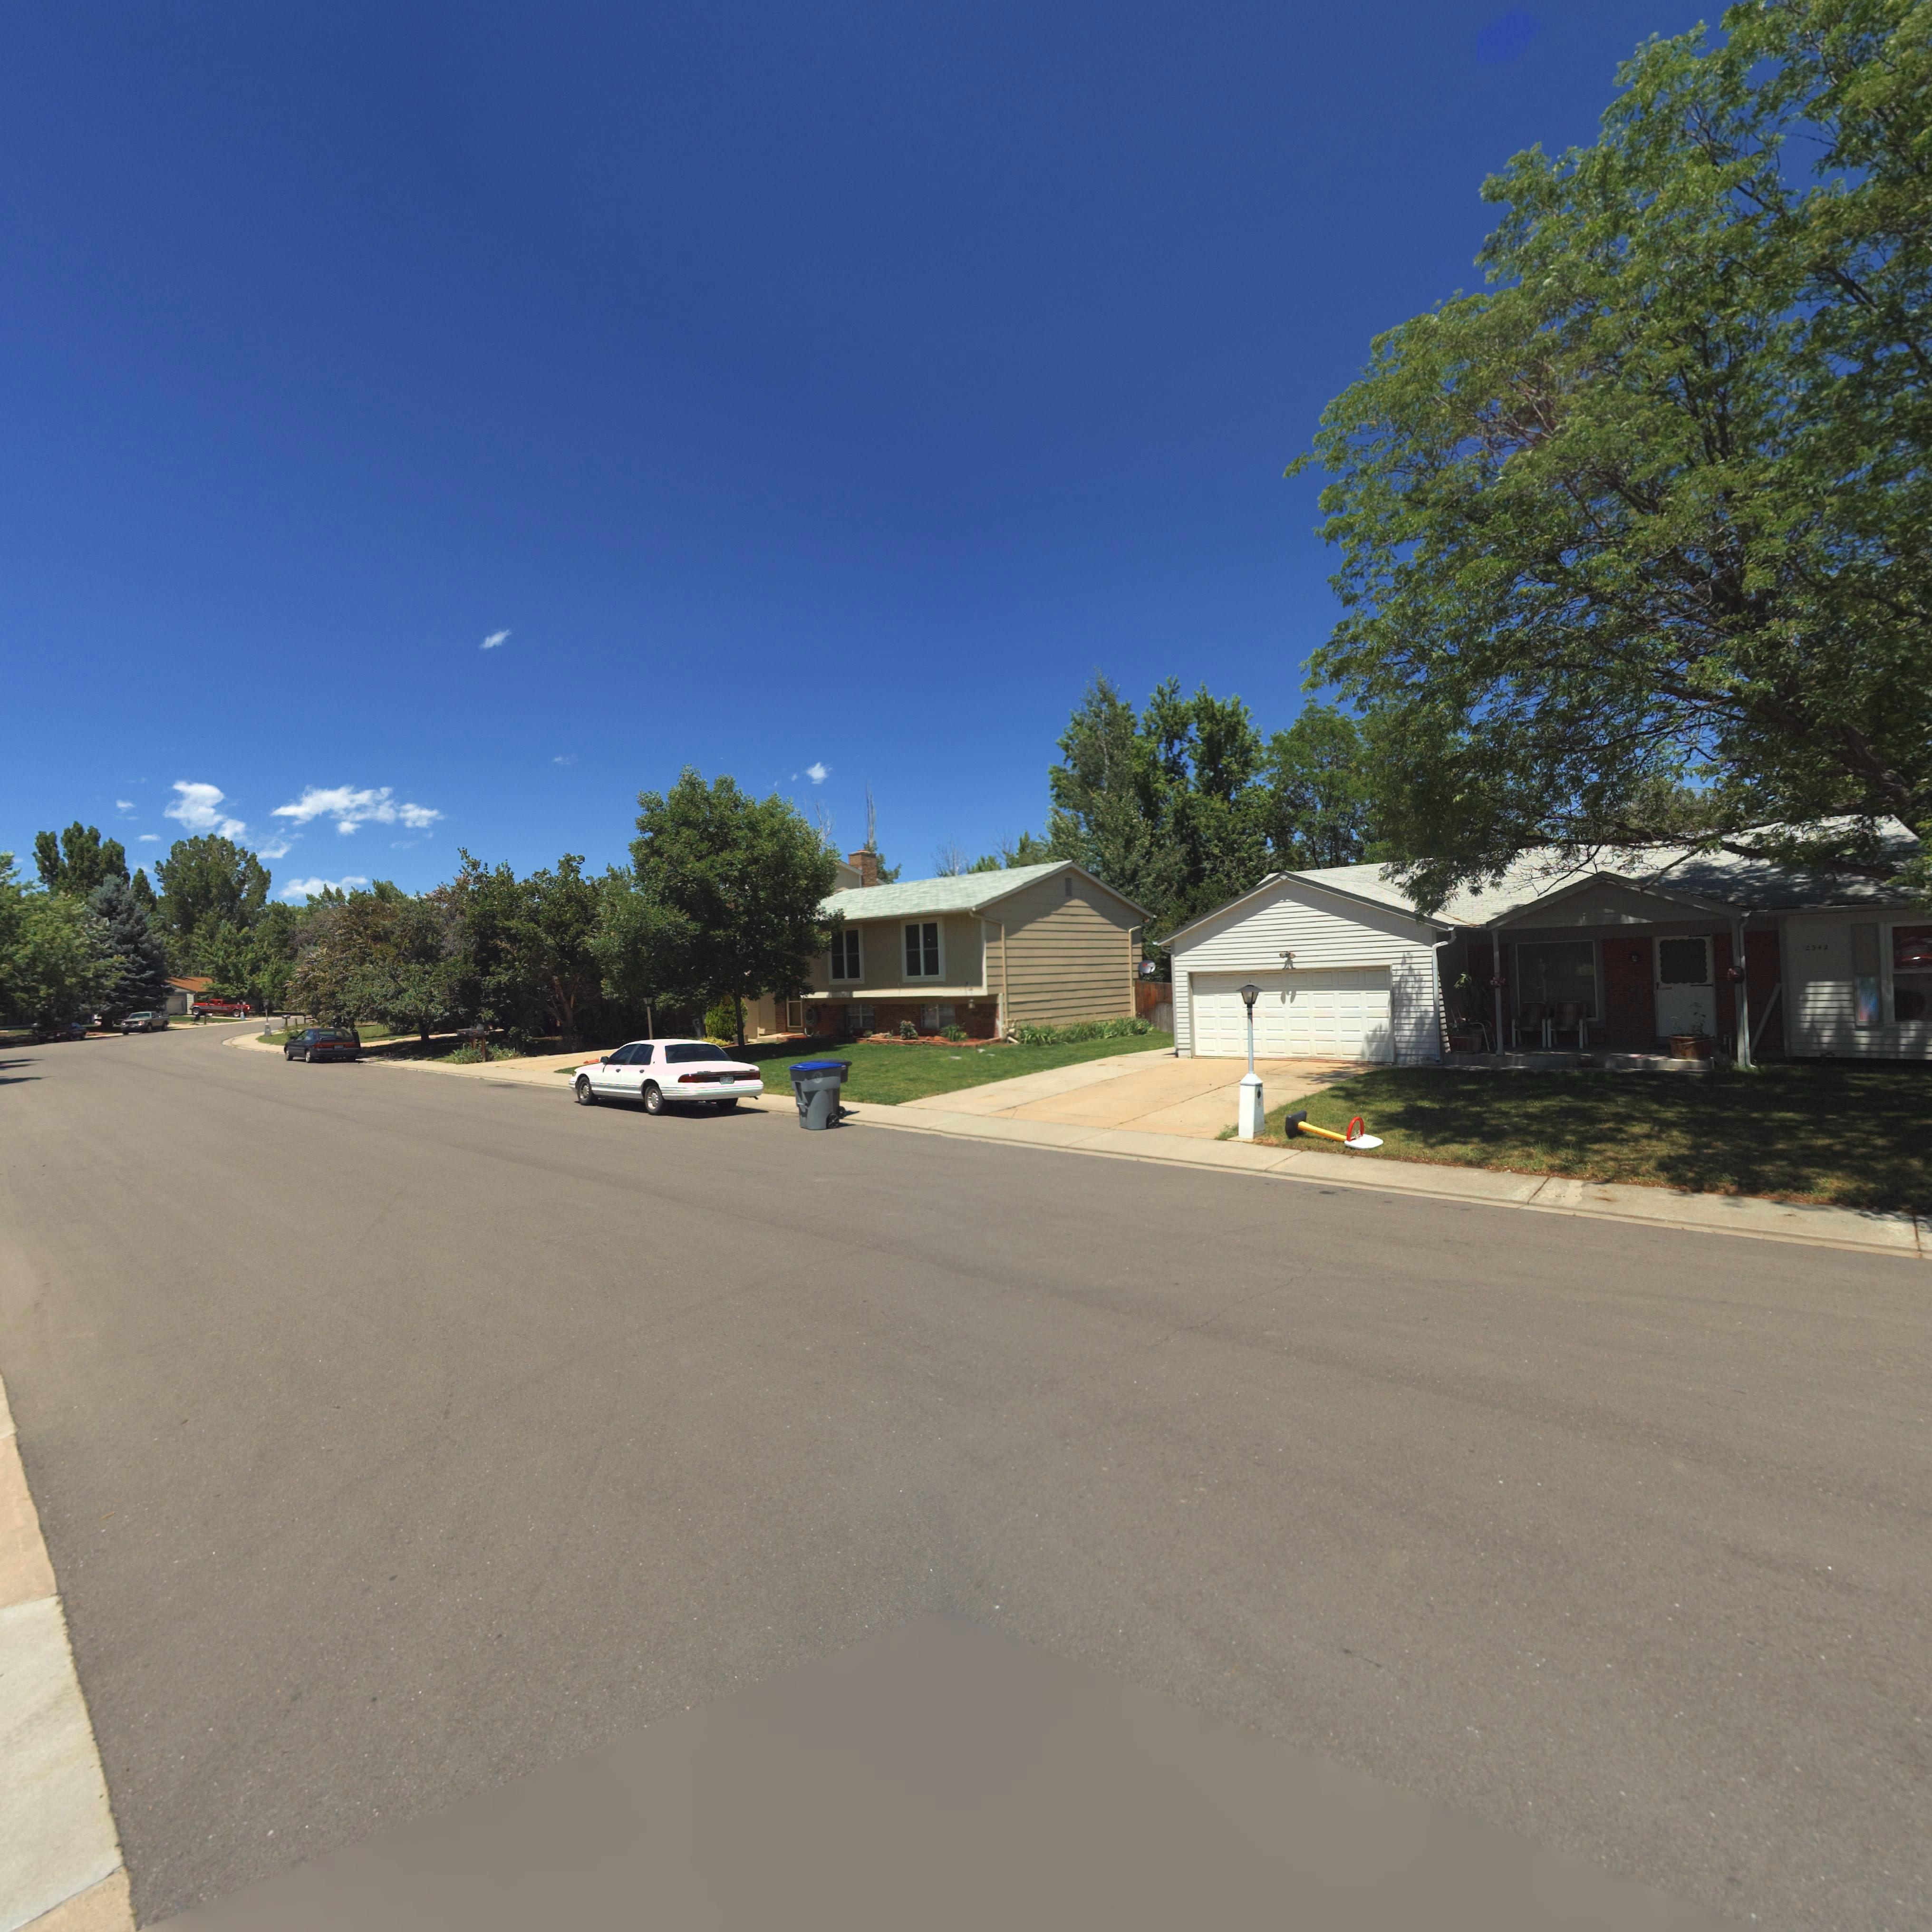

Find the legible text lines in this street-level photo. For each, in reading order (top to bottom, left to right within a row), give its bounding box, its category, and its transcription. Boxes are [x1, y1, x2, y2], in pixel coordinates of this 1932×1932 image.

[1804, 944, 1828, 951] StreetNumber: 2342